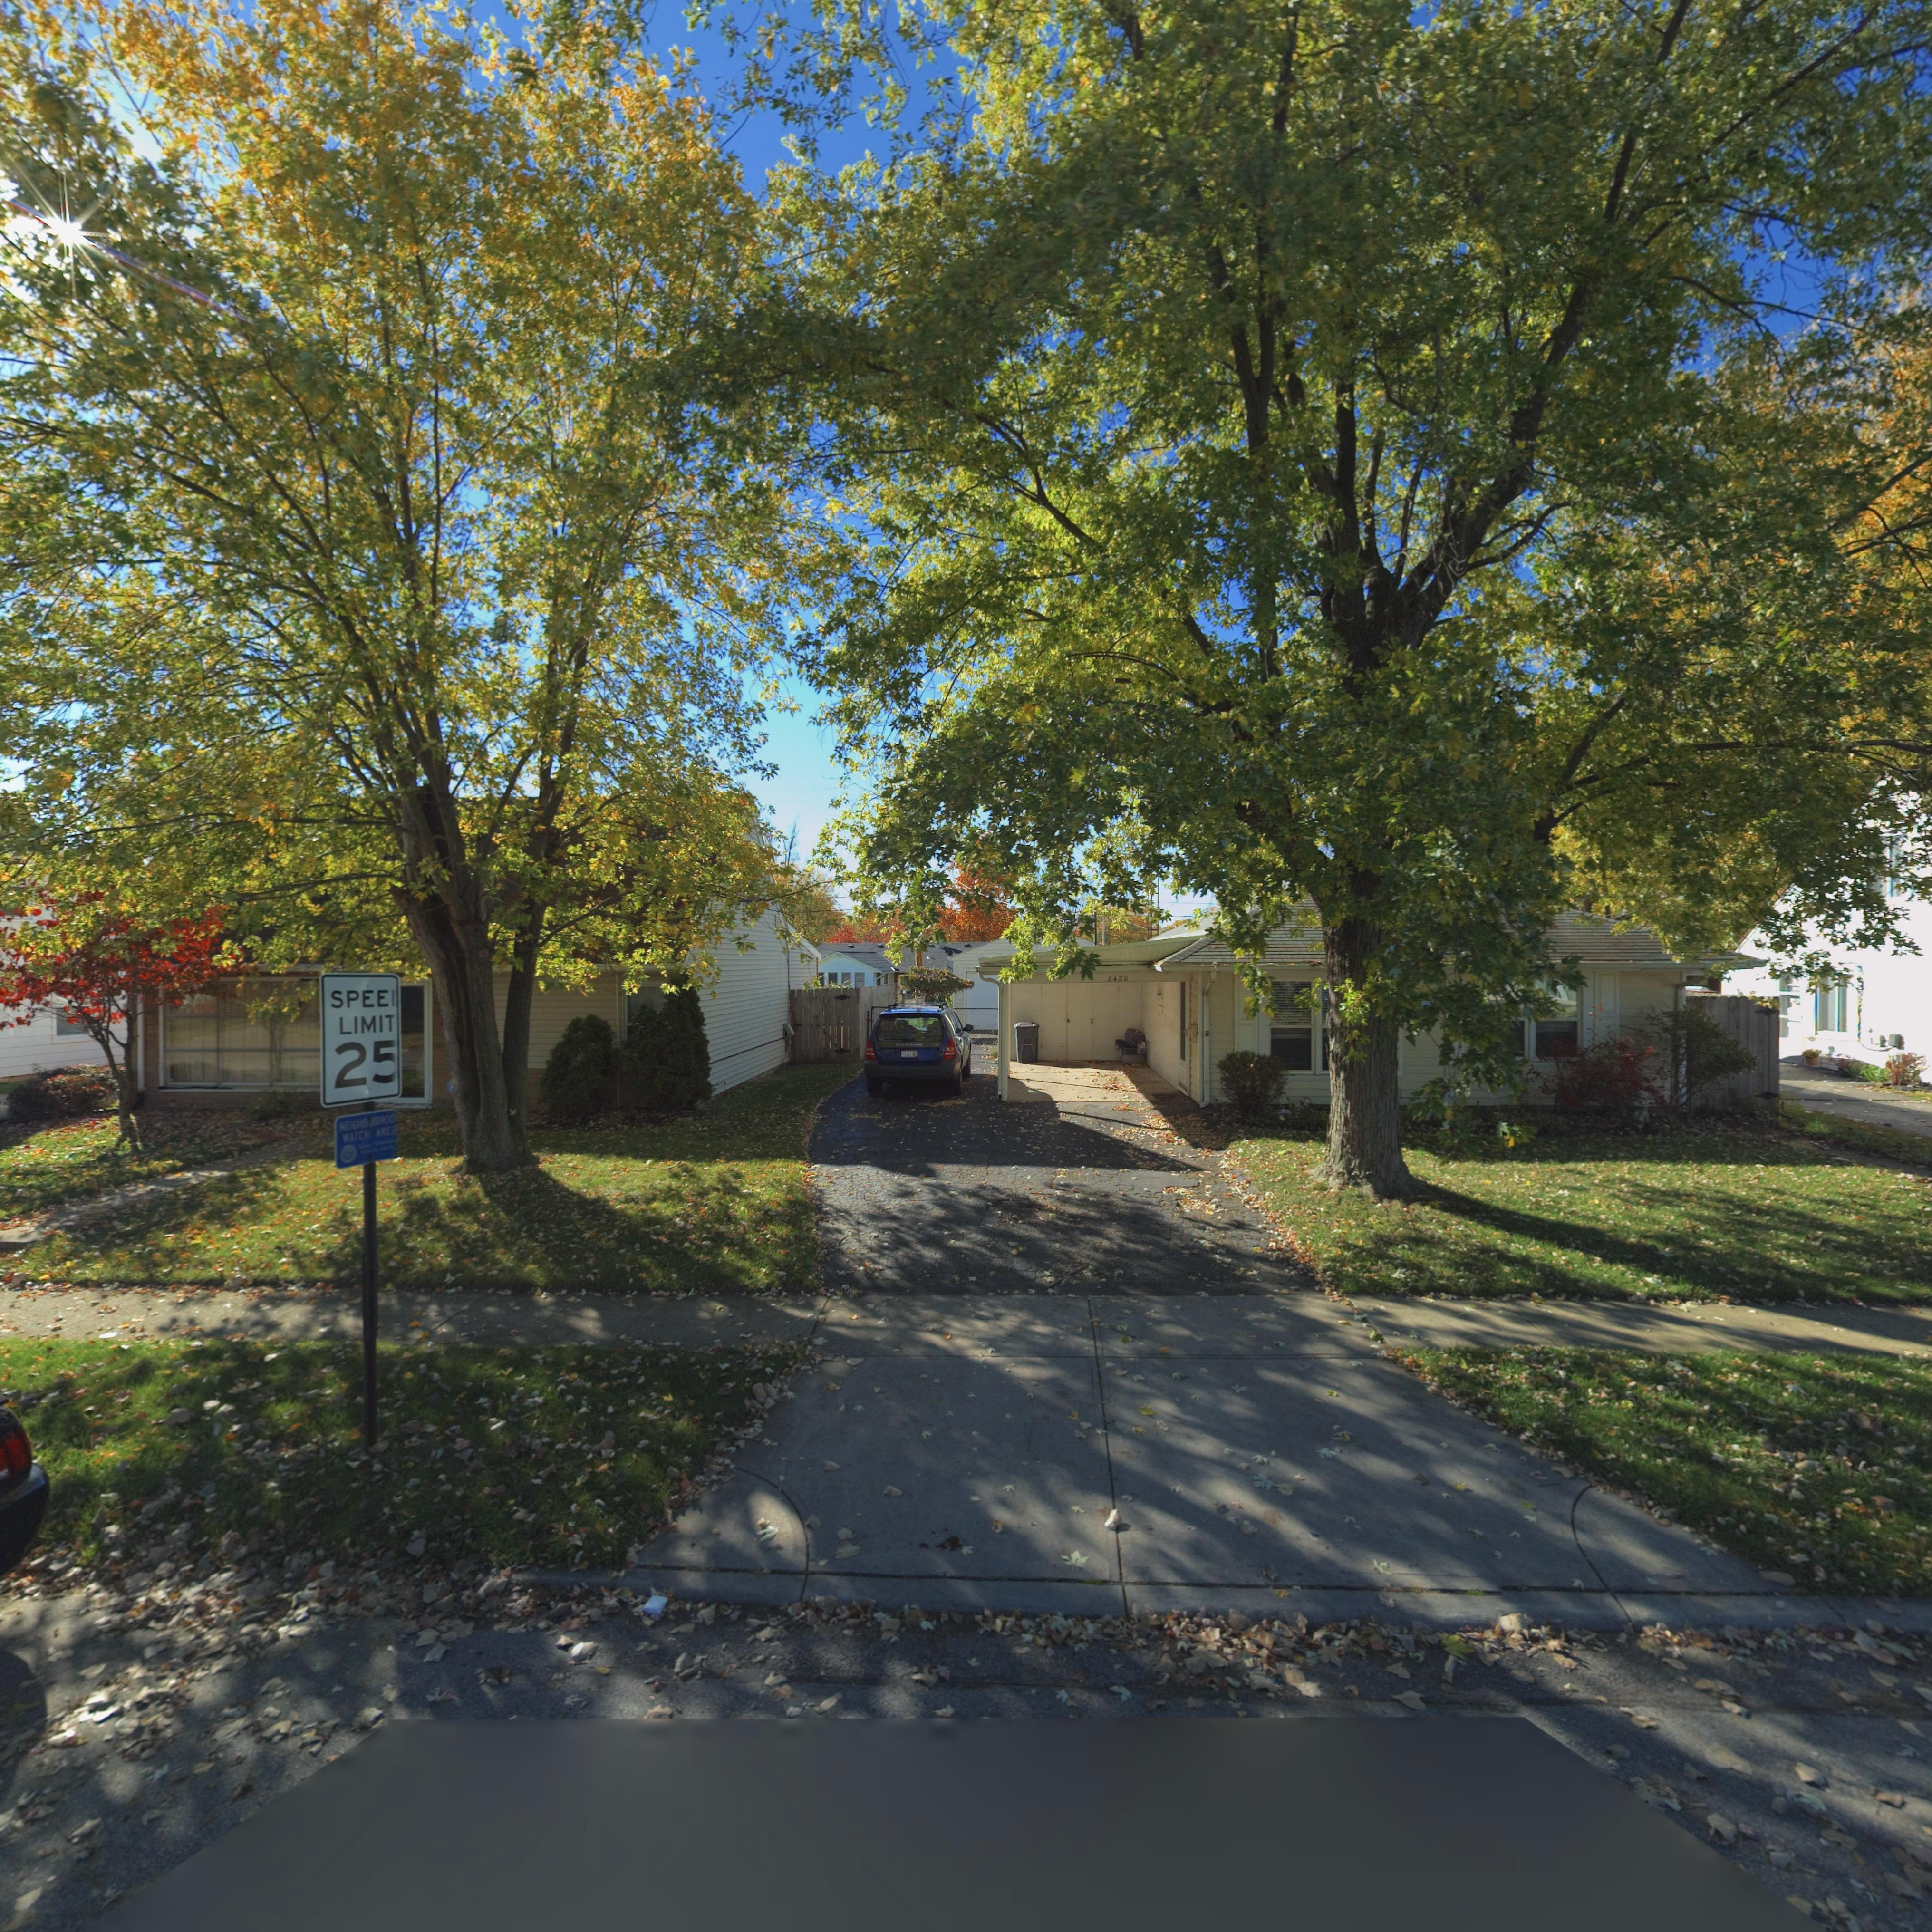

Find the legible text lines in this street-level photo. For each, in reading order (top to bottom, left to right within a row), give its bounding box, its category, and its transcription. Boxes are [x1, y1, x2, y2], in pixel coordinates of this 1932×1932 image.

[1107, 975, 1129, 983] StreetNumber: 2420
[329, 988, 390, 1010] None: SPEE
[338, 1013, 396, 1036] None: LIMIT
[332, 1038, 398, 1091] None: 25
[904, 1052, 912, 1058] None: EN7
[895, 1043, 923, 1046] None: SUBARU
[338, 1113, 396, 1133] None: NEIGHB*RHOO
[340, 1125, 392, 1145] None: WATCH ARE